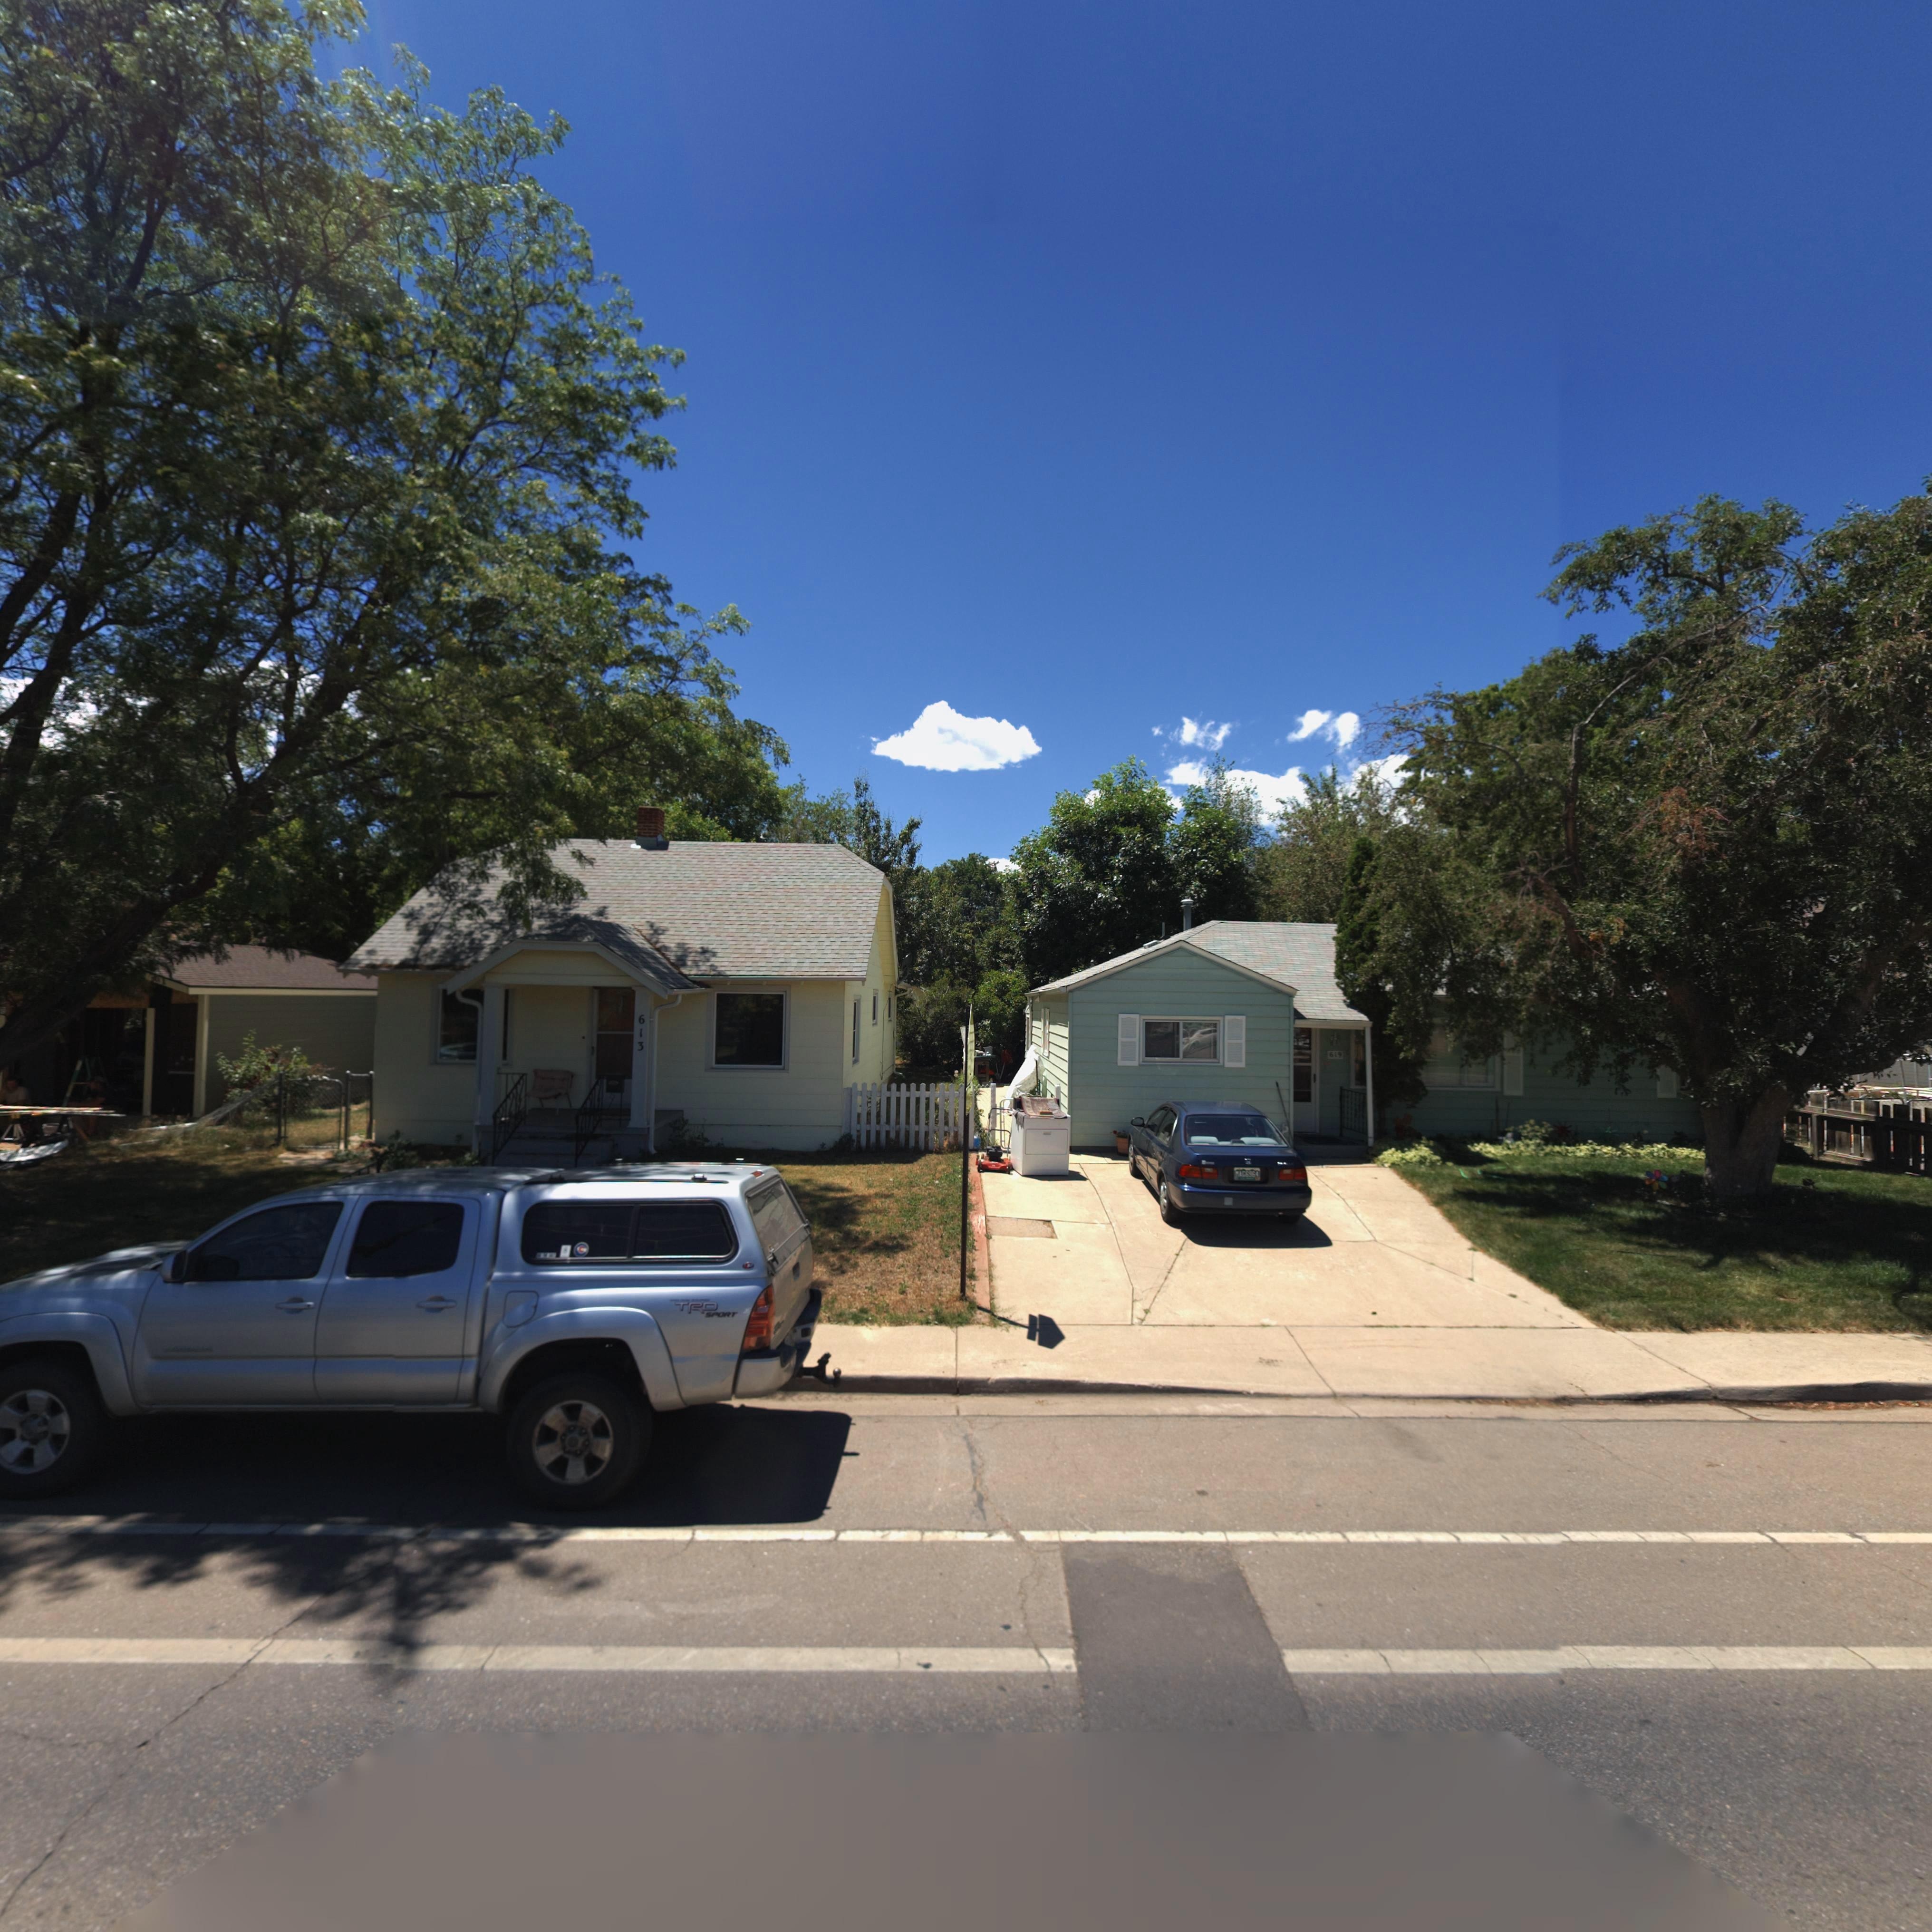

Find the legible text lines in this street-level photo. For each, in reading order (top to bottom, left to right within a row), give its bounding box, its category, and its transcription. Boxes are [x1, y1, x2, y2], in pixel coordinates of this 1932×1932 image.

[637, 1013, 646, 1052] StreetNumber: 613
[1329, 1051, 1342, 1058] StreetNumber: 619